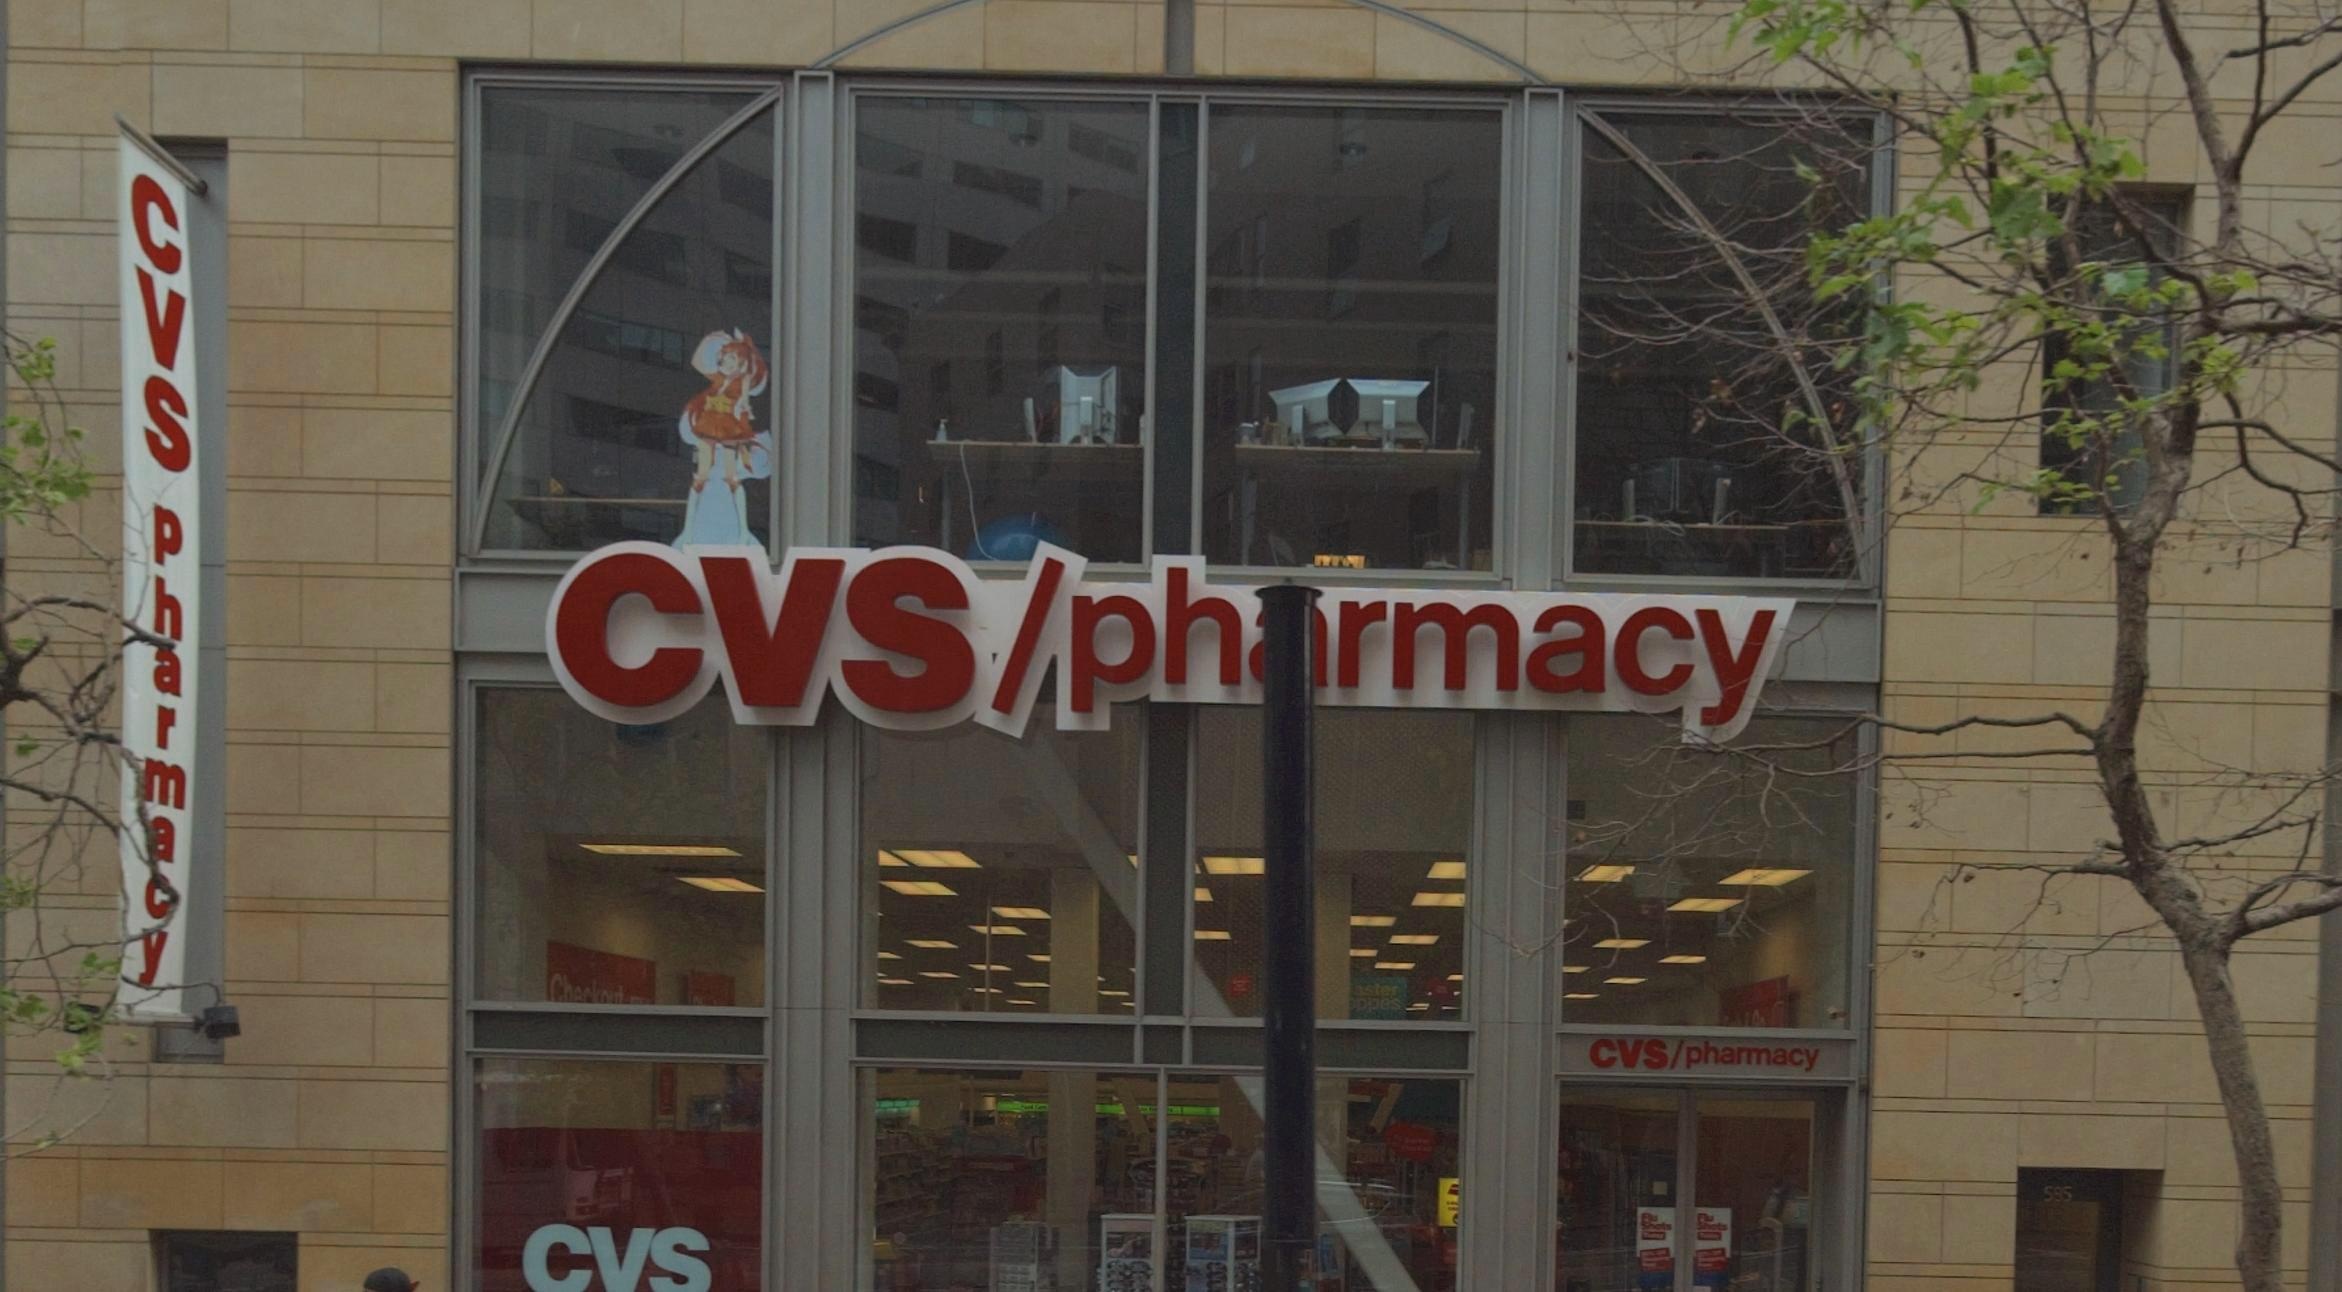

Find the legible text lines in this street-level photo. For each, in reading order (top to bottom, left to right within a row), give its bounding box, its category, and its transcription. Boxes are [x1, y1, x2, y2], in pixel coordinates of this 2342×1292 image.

[125, 153, 199, 999] BusinessName: CVS pharmacy
[544, 530, 1799, 748] BusinessName: CVS/ph*rmacy
[1352, 980, 1404, 999] None: aster
[1355, 994, 1404, 1016] None: ppes
[1585, 1033, 1827, 1076] BusinessName: CVS/pharmacy
[2040, 1182, 2076, 1205] StreetNumber: 595
[1639, 1209, 1661, 1223] None: Flu
[1638, 1220, 1674, 1233] None: Shots
[1696, 1211, 1717, 1223] None: Flu
[1693, 1220, 1730, 1233] None: Shots
[517, 1215, 720, 1291] BusinessName: CVS